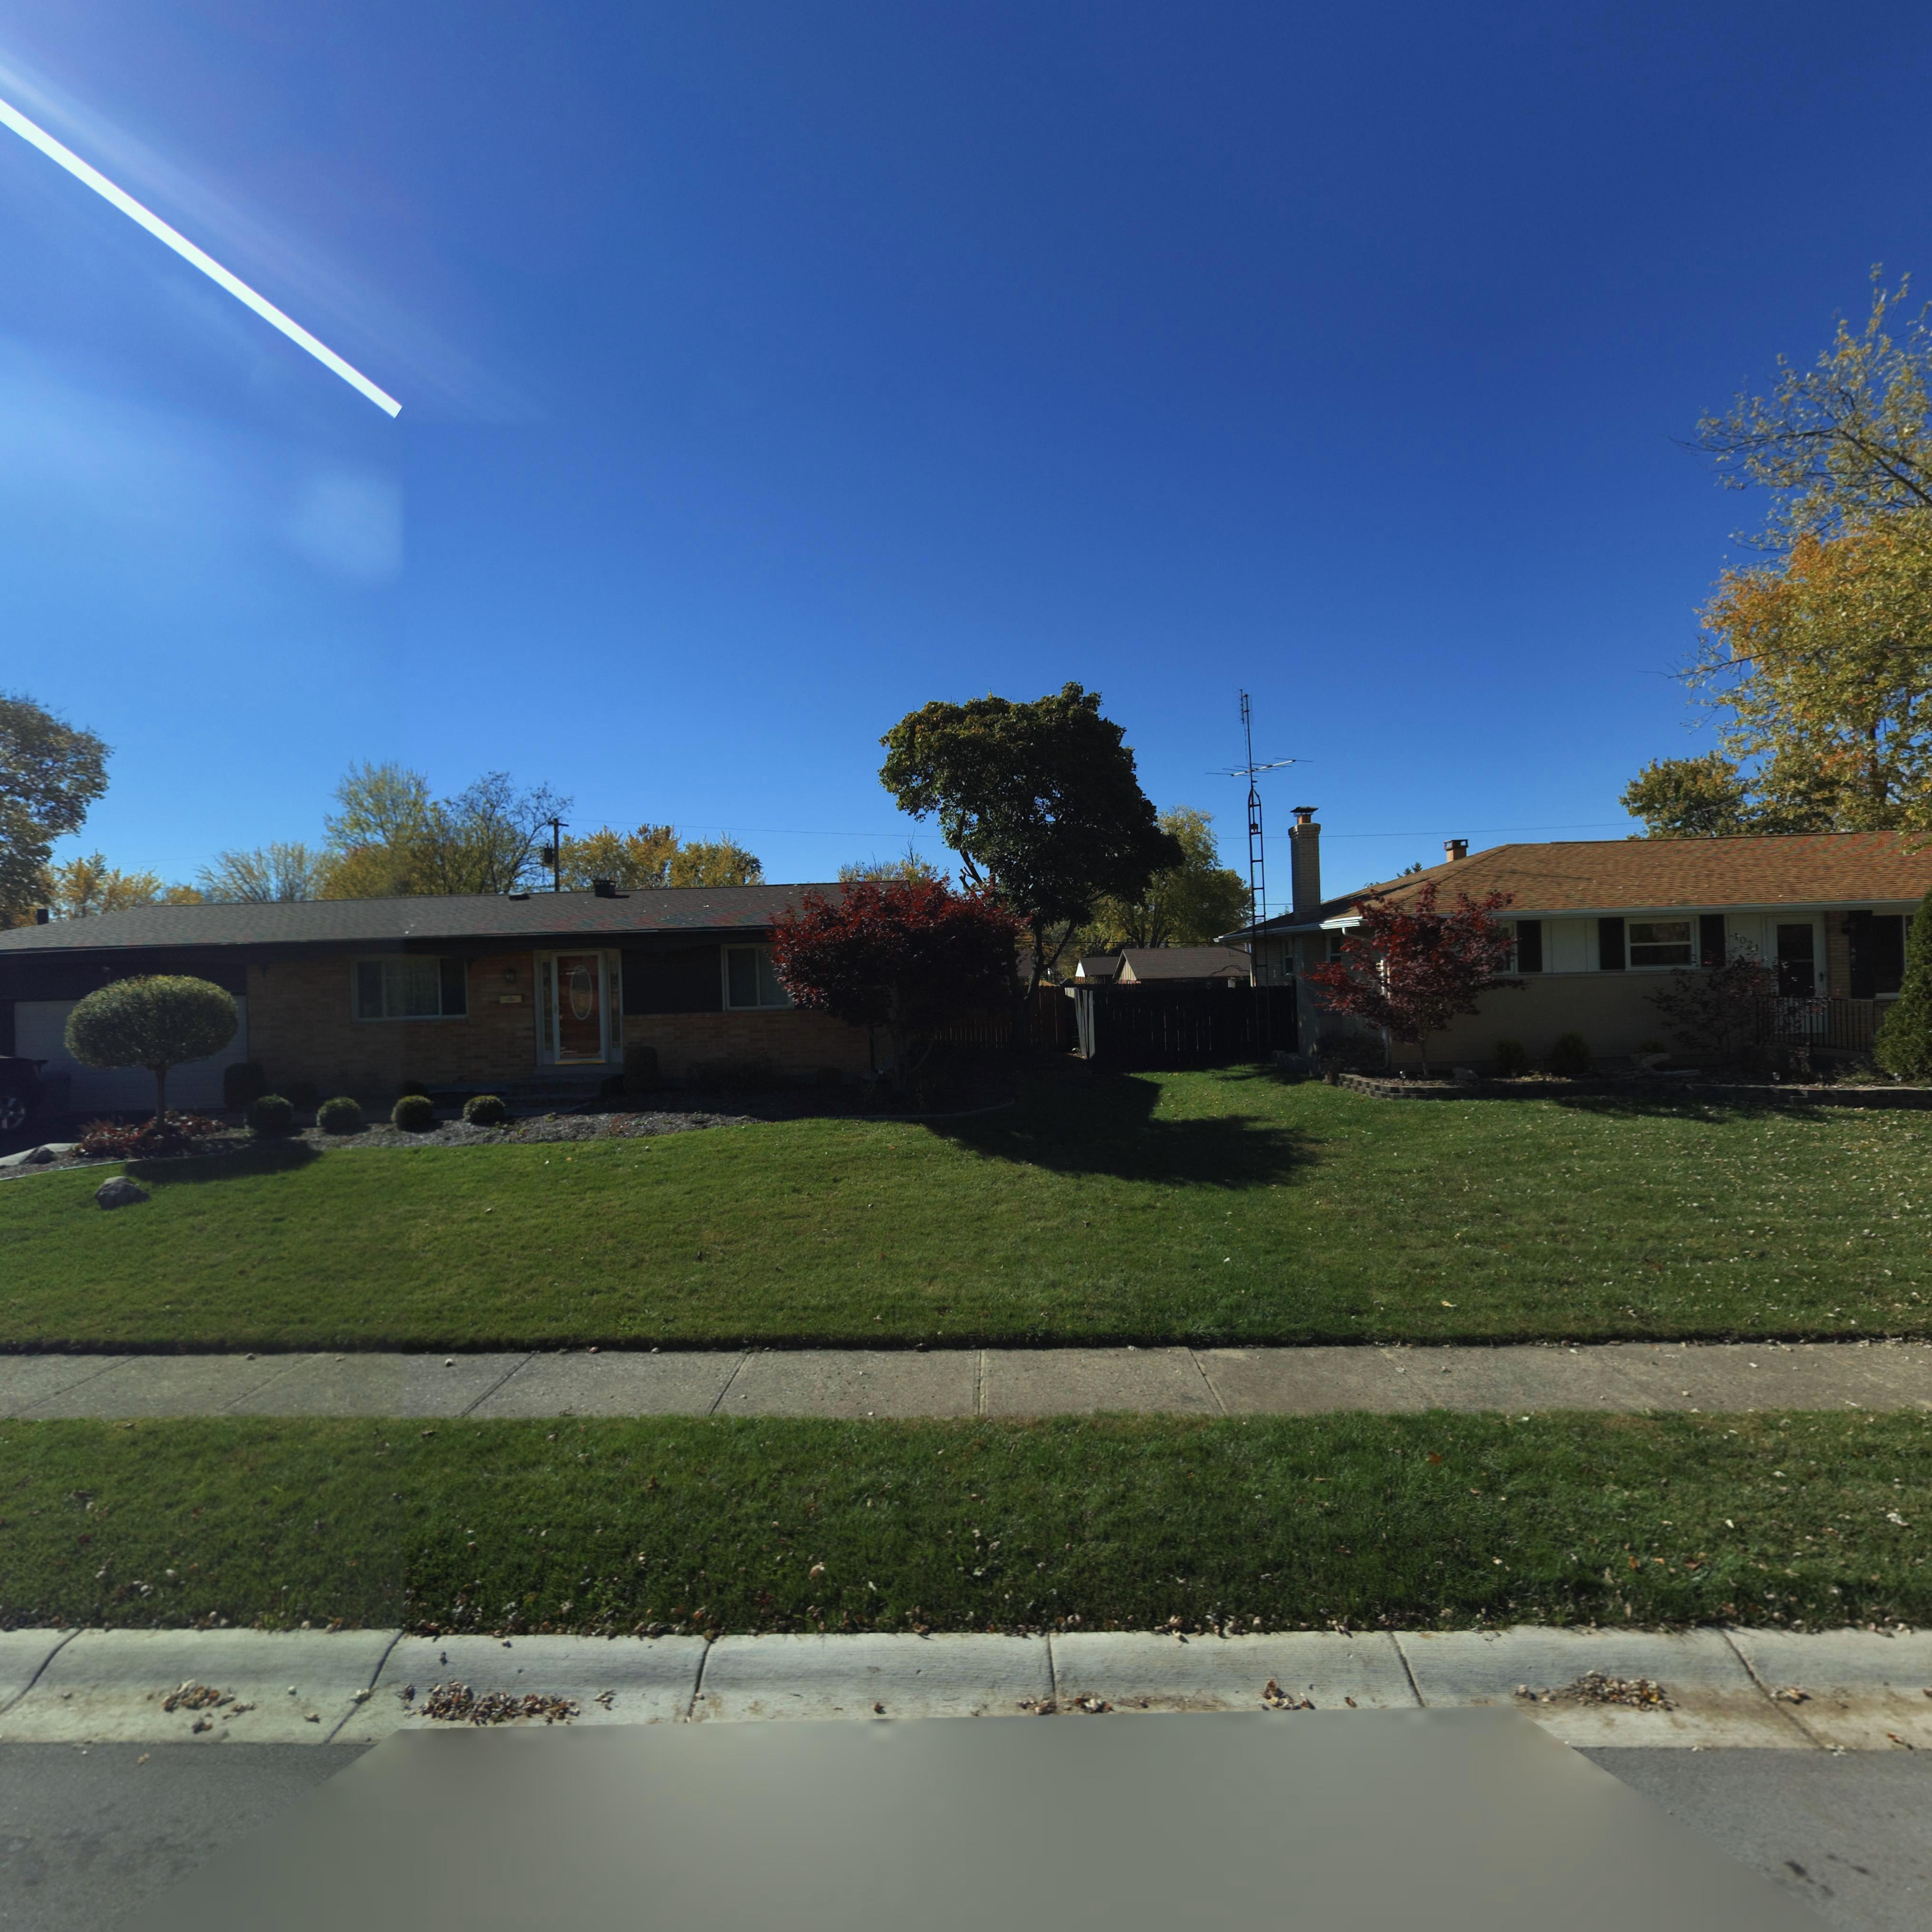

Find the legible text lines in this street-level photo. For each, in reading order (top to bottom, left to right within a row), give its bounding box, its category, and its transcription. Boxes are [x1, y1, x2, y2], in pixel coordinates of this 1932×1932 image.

[1734, 932, 1759, 952] StreetNumber: *021